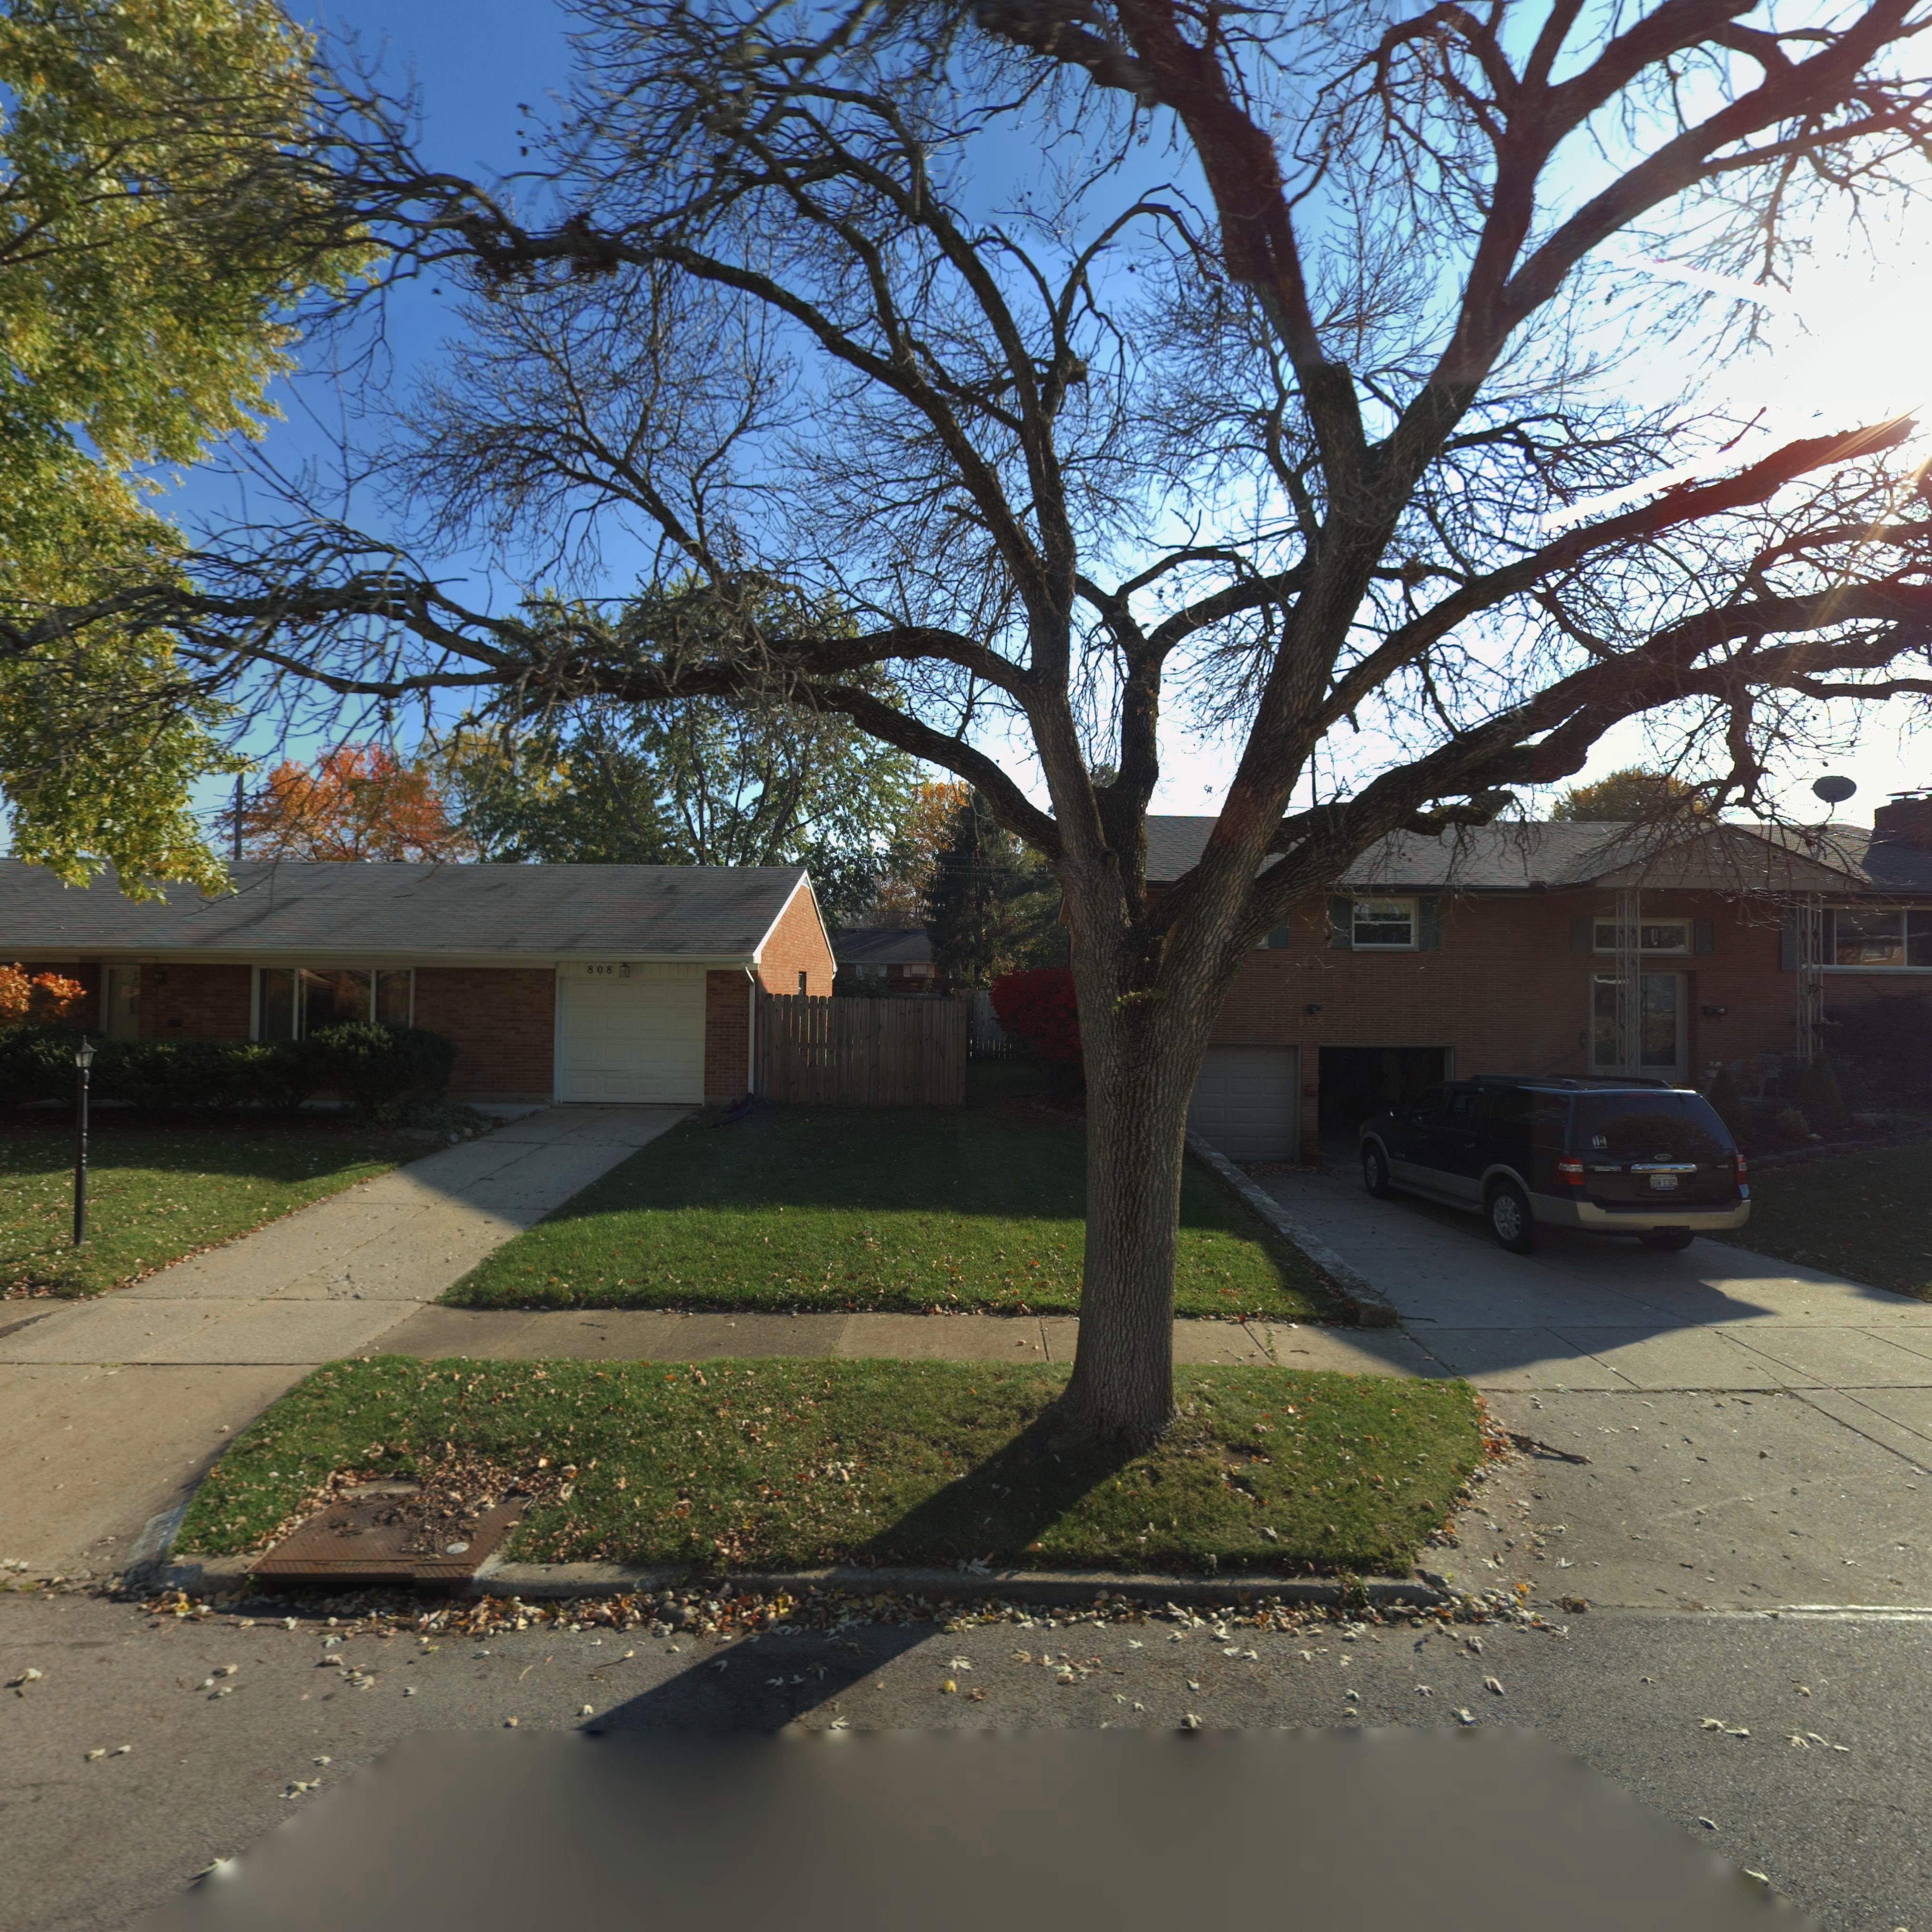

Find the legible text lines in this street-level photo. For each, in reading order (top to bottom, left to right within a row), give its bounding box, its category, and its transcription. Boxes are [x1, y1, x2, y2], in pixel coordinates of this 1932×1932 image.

[587, 965, 612, 974] StreetNumber: 808
[1297, 1015, 1323, 1026] StreetNumber: 804